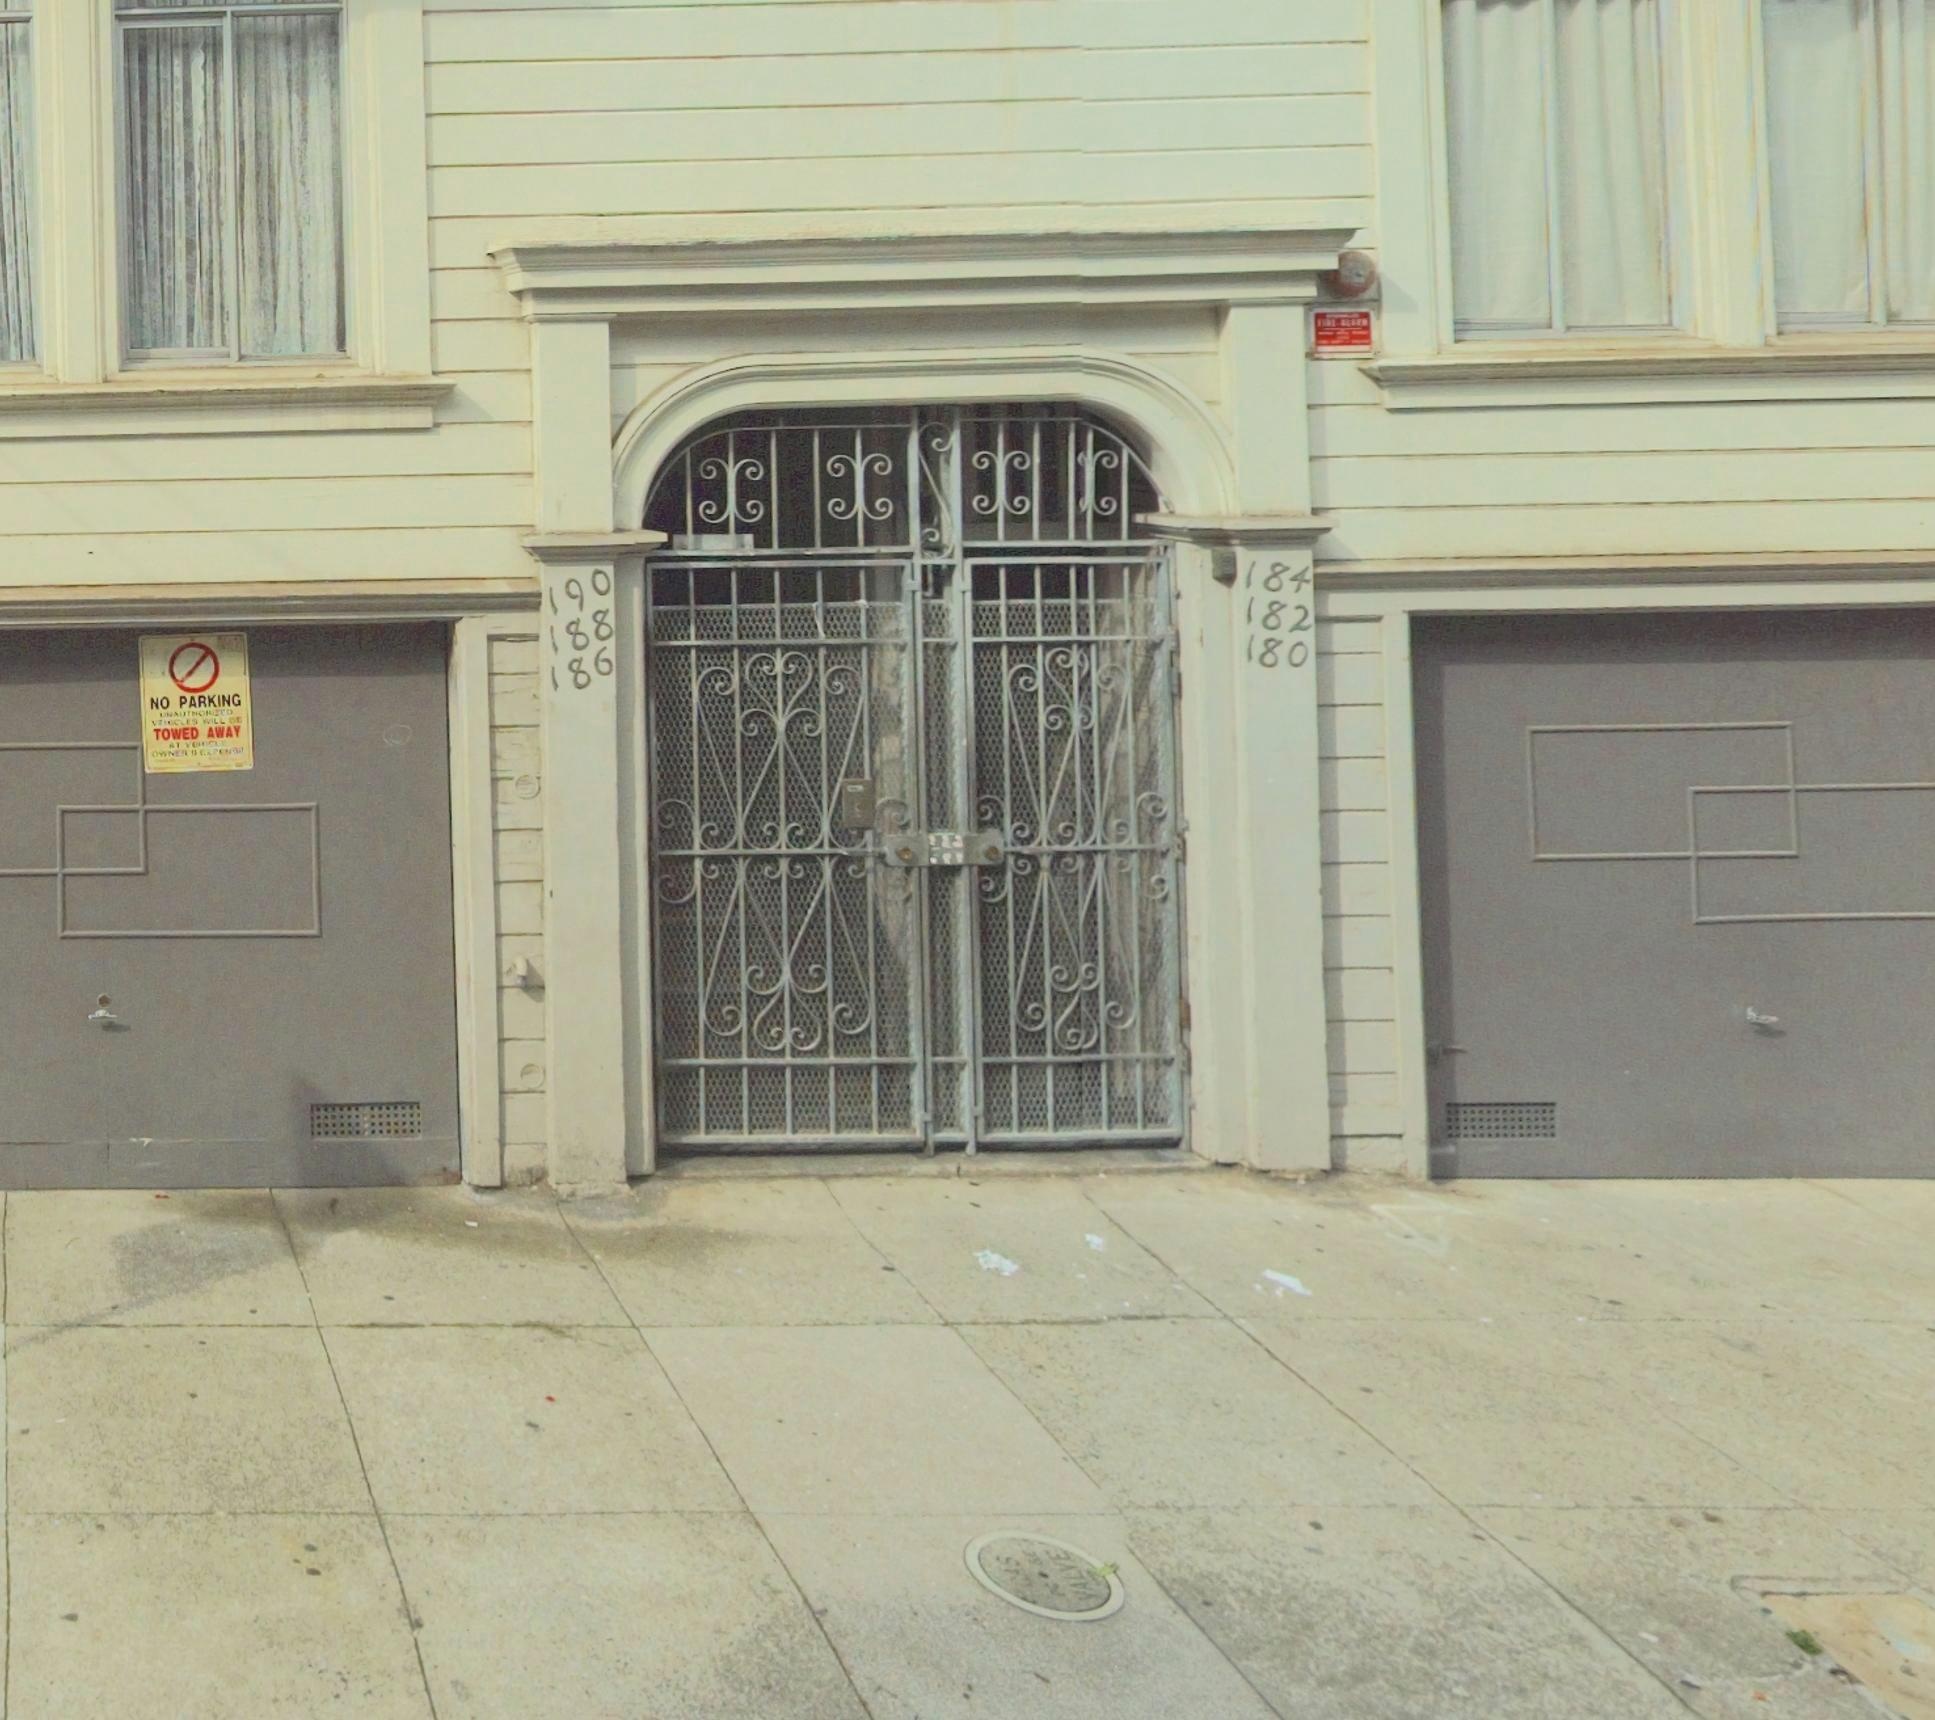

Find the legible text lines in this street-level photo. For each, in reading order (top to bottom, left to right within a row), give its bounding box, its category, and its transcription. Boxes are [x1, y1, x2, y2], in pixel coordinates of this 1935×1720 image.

[544, 565, 613, 620] StreetNumber: 190
[1241, 558, 1314, 595] StreetNumber: 184
[547, 604, 616, 658] StreetNumber: 188
[548, 643, 615, 695] StreetNumber: 186
[1244, 631, 1312, 670] StreetNumber: 180
[1244, 594, 1317, 634] StreetNumber: 182
[148, 692, 245, 711] None: NO PARKING
[150, 723, 244, 742] None: TOWED AWAY